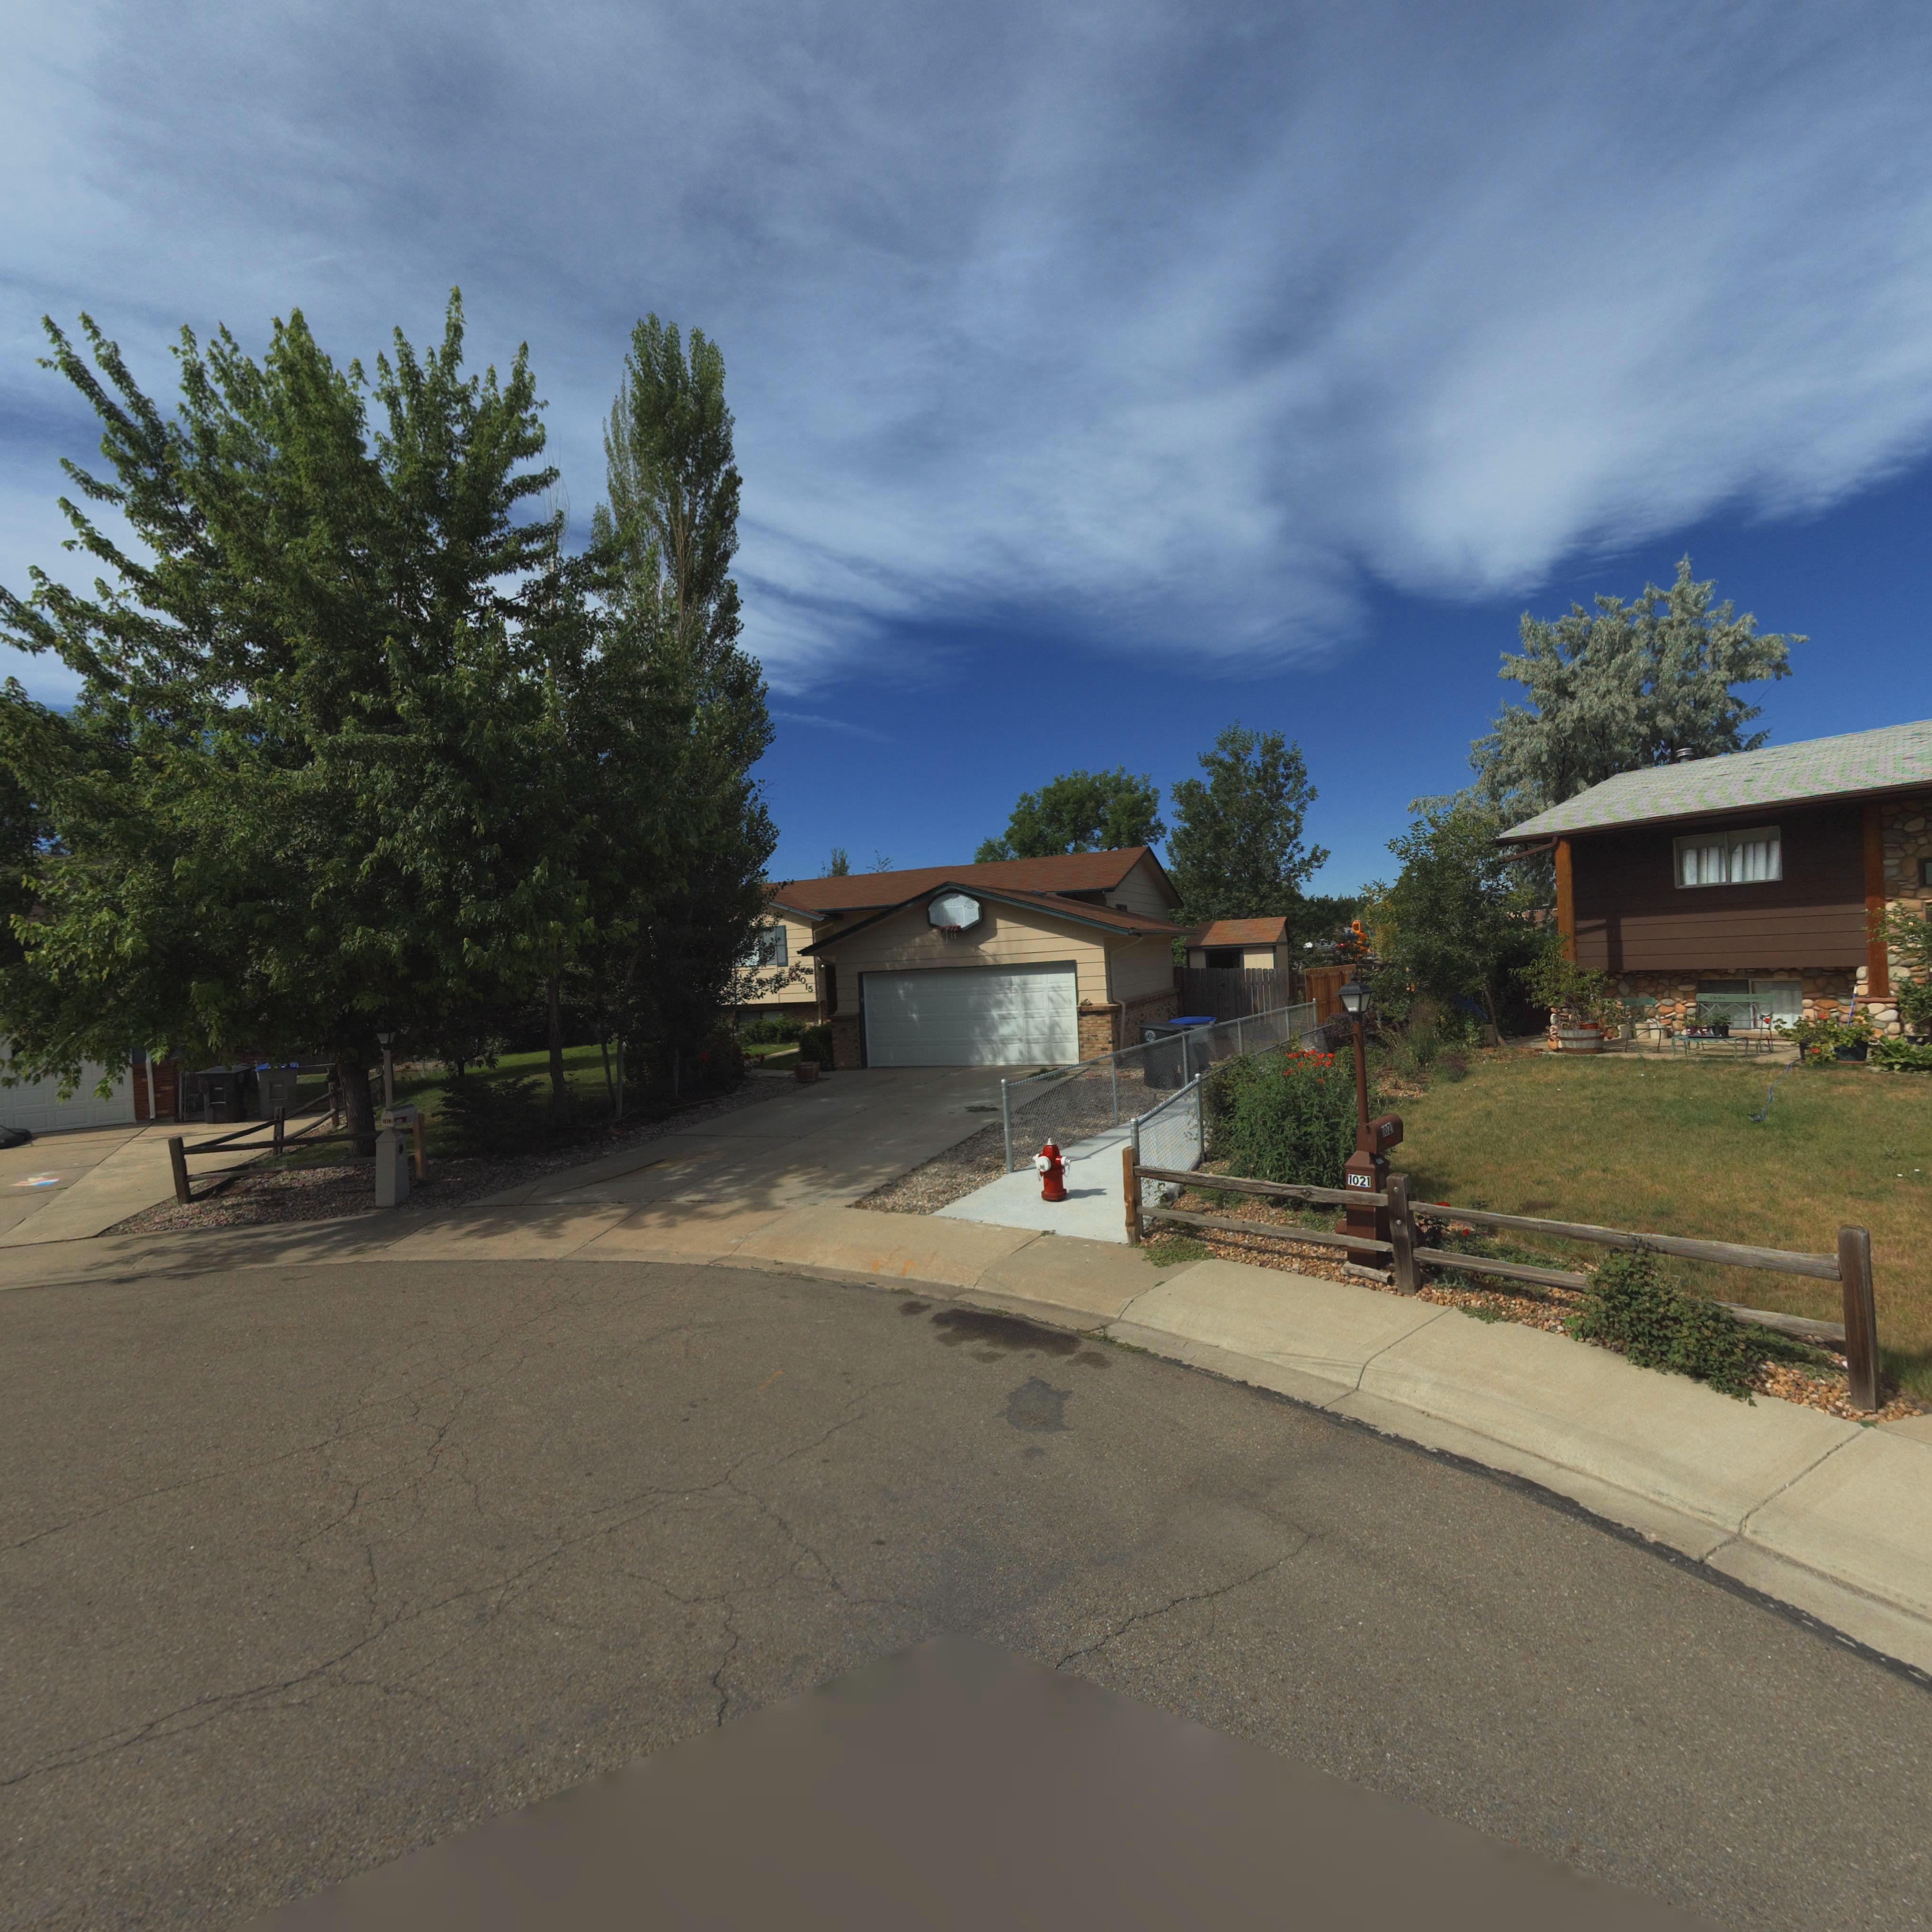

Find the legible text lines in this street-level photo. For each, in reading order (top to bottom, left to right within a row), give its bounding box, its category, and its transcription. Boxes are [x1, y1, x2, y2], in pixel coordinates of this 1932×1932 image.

[798, 975, 813, 993] StreetNumber: 1015
[383, 1119, 392, 1124] StreetNumber: 101*
[1381, 1122, 1394, 1137] StreetNumber: 1021
[1349, 1175, 1370, 1187] StreetNumber: 1021